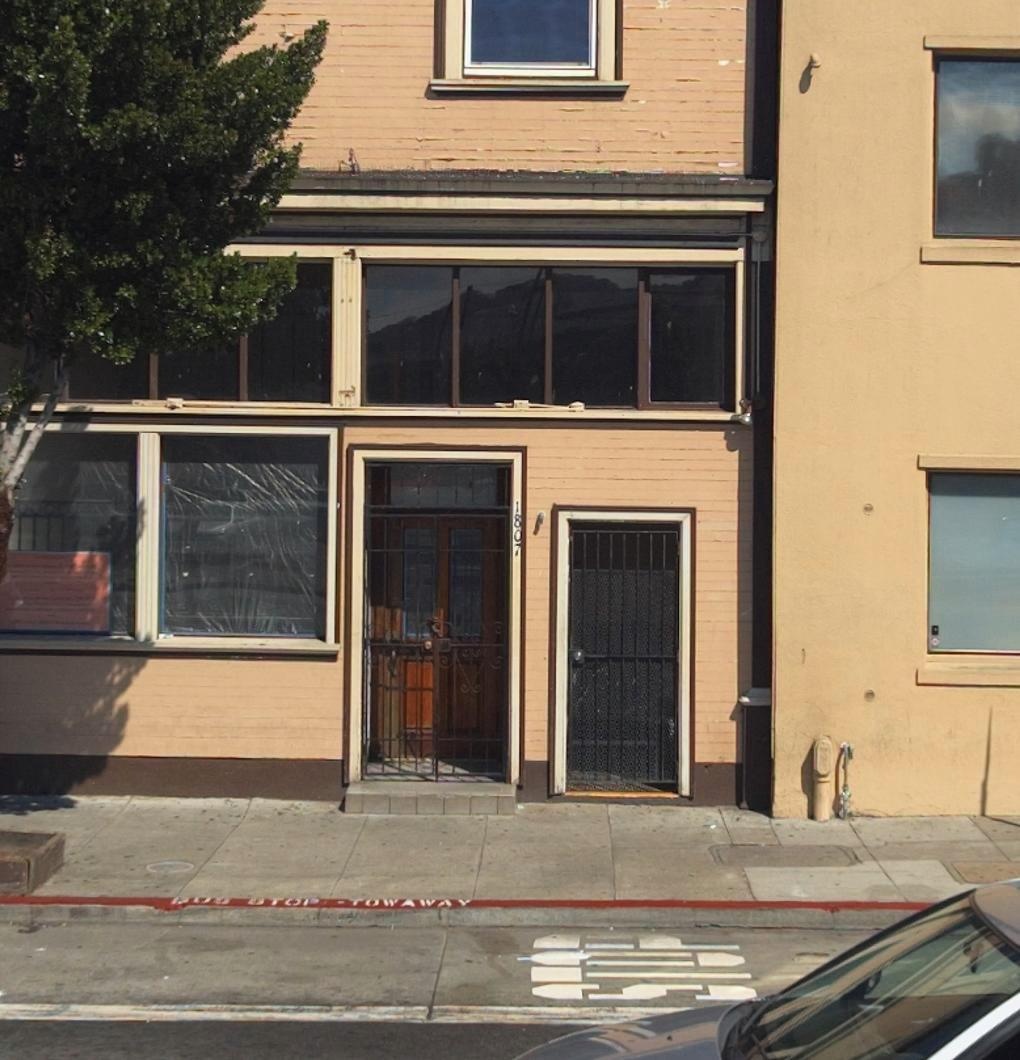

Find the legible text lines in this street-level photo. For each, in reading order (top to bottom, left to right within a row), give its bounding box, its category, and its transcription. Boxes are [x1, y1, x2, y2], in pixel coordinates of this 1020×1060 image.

[513, 501, 522, 558] StreetNumber: 1807
[169, 896, 471, 908] None: BUS STOP -TOWAWAY
[530, 929, 760, 1001] None: STOP